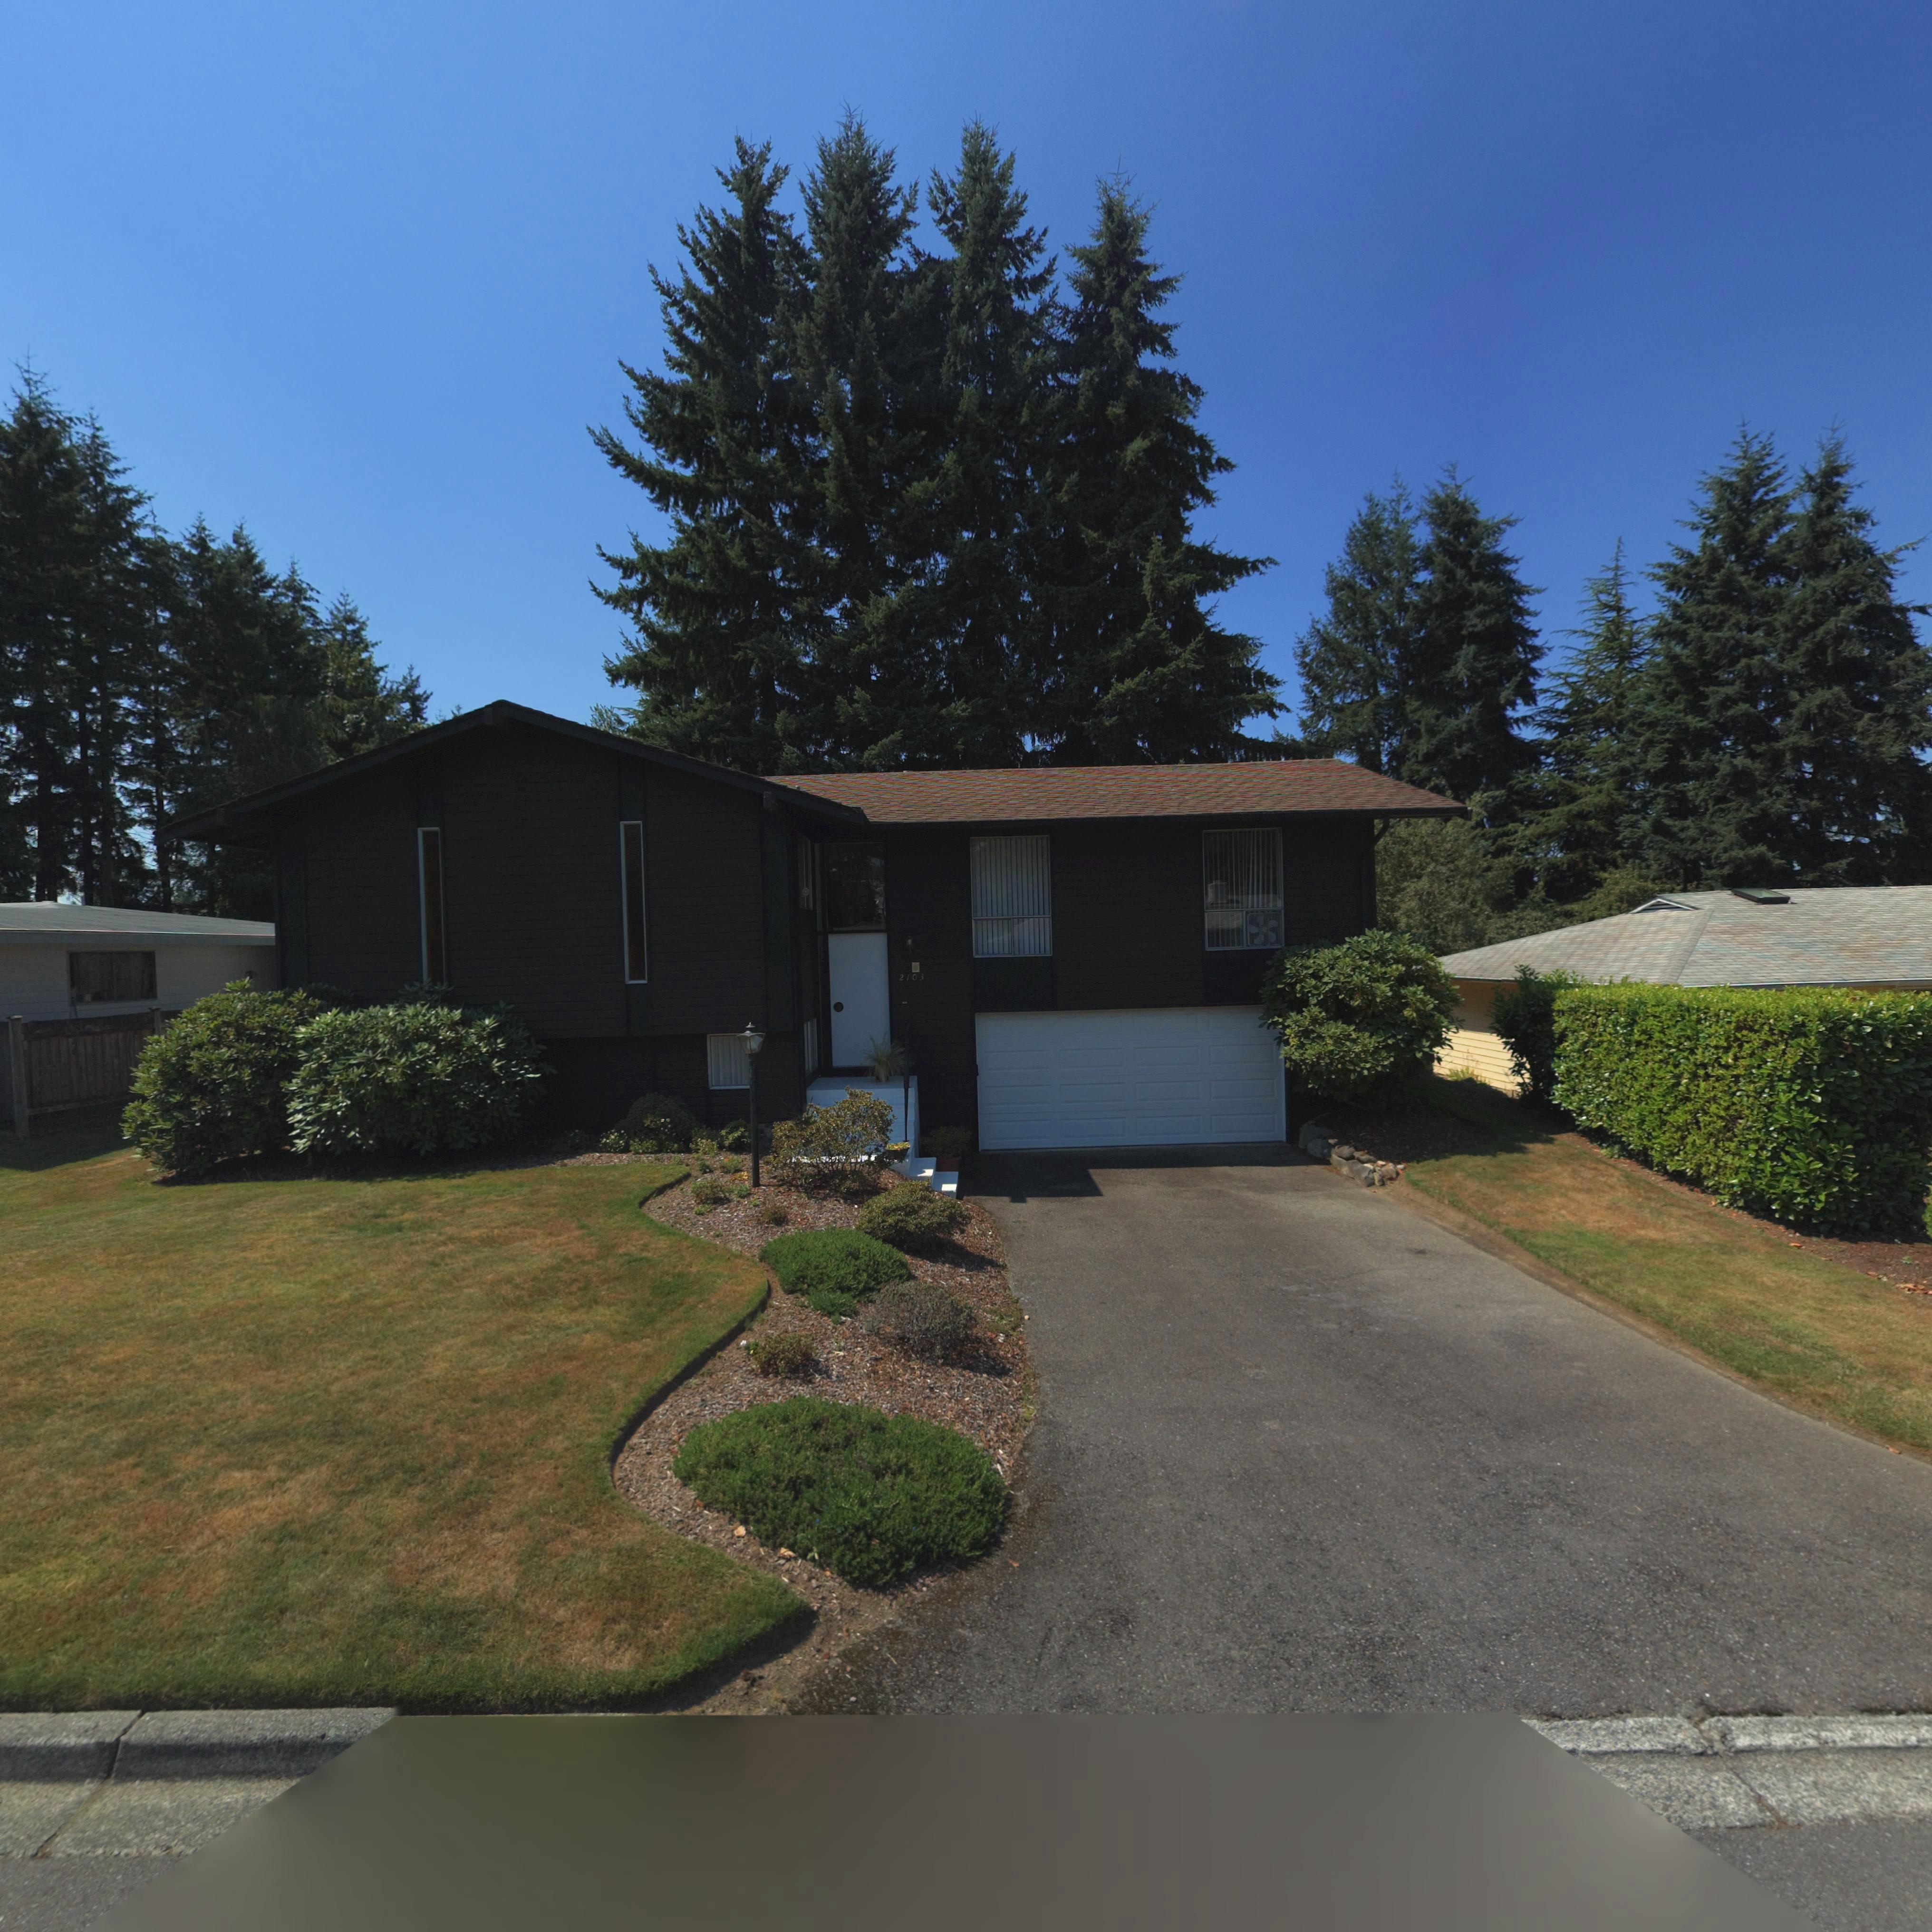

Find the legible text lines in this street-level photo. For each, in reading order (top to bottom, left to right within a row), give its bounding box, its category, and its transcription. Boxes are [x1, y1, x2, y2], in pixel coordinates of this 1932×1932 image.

[899, 972, 925, 983] StreetNumber: 2103